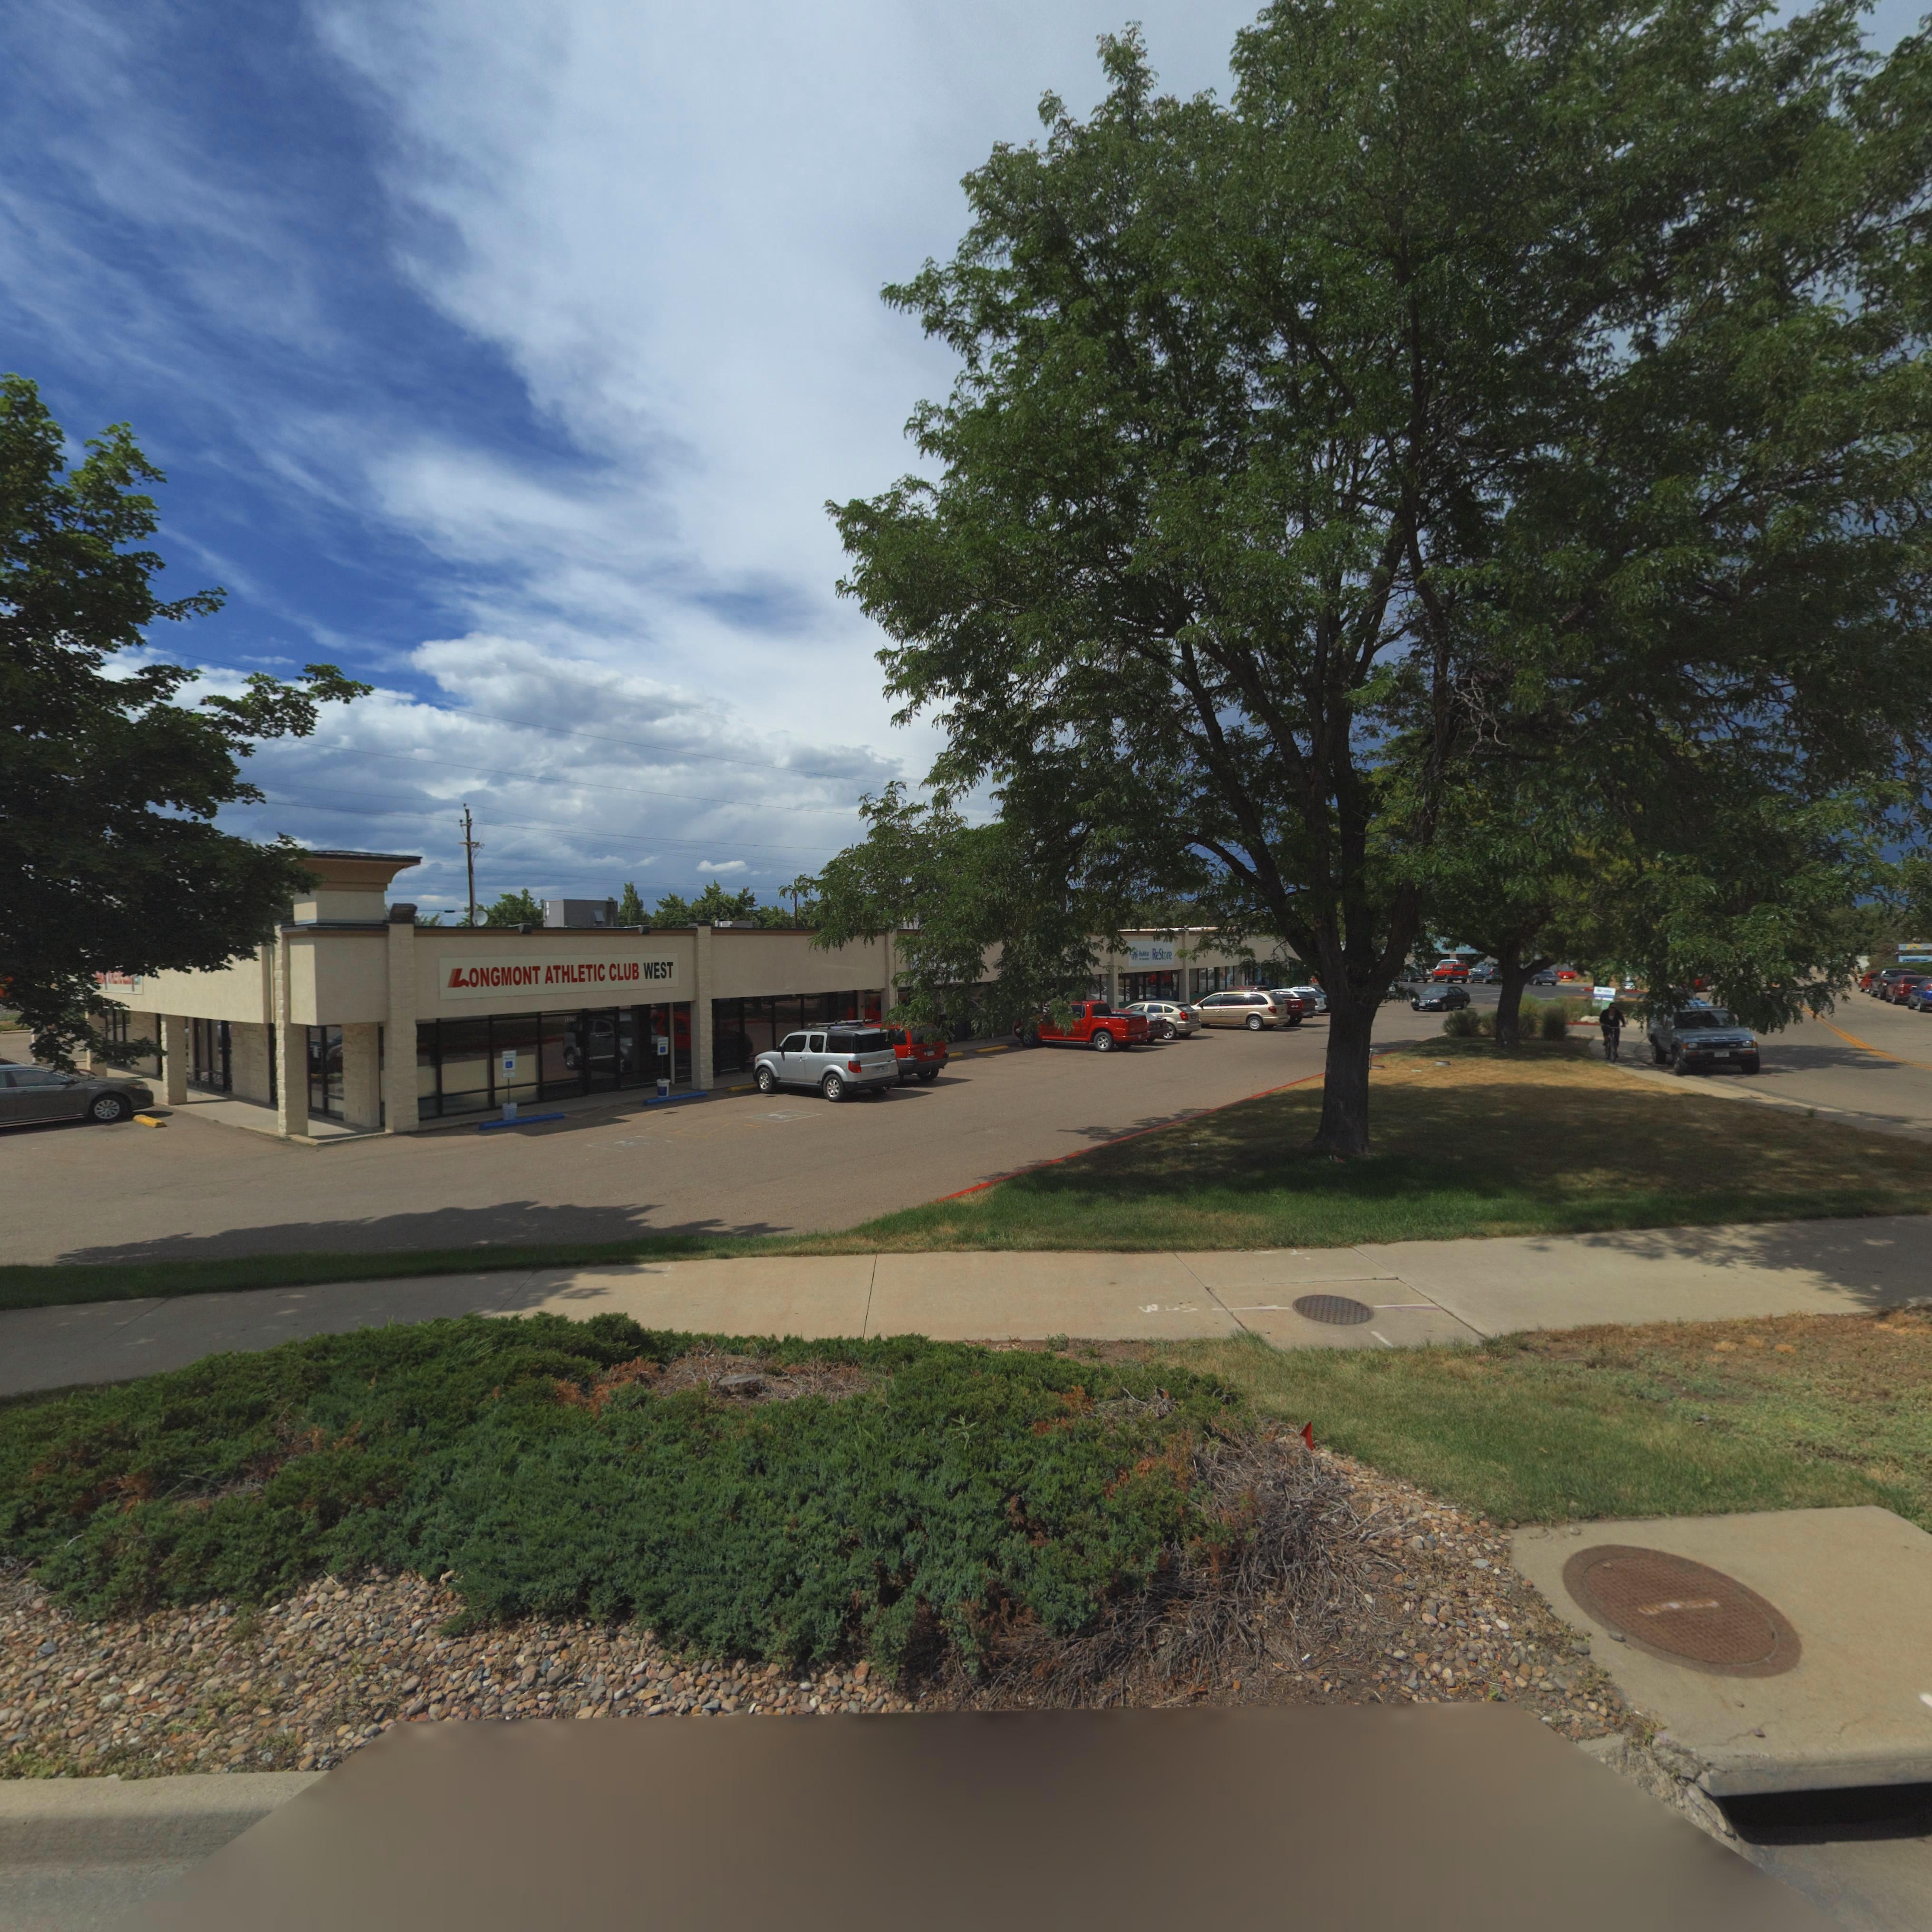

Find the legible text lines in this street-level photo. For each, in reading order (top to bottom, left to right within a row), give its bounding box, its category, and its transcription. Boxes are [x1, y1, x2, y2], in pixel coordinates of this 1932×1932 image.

[1138, 949, 1150, 956] BusinessName: H***t*t
[1151, 947, 1172, 960] BusinessName: ReStore
[446, 961, 674, 989] BusinessName: LONGMONT ATHLETIC CLUB WEST
[564, 1015, 576, 1023] StreetNumber: 1375